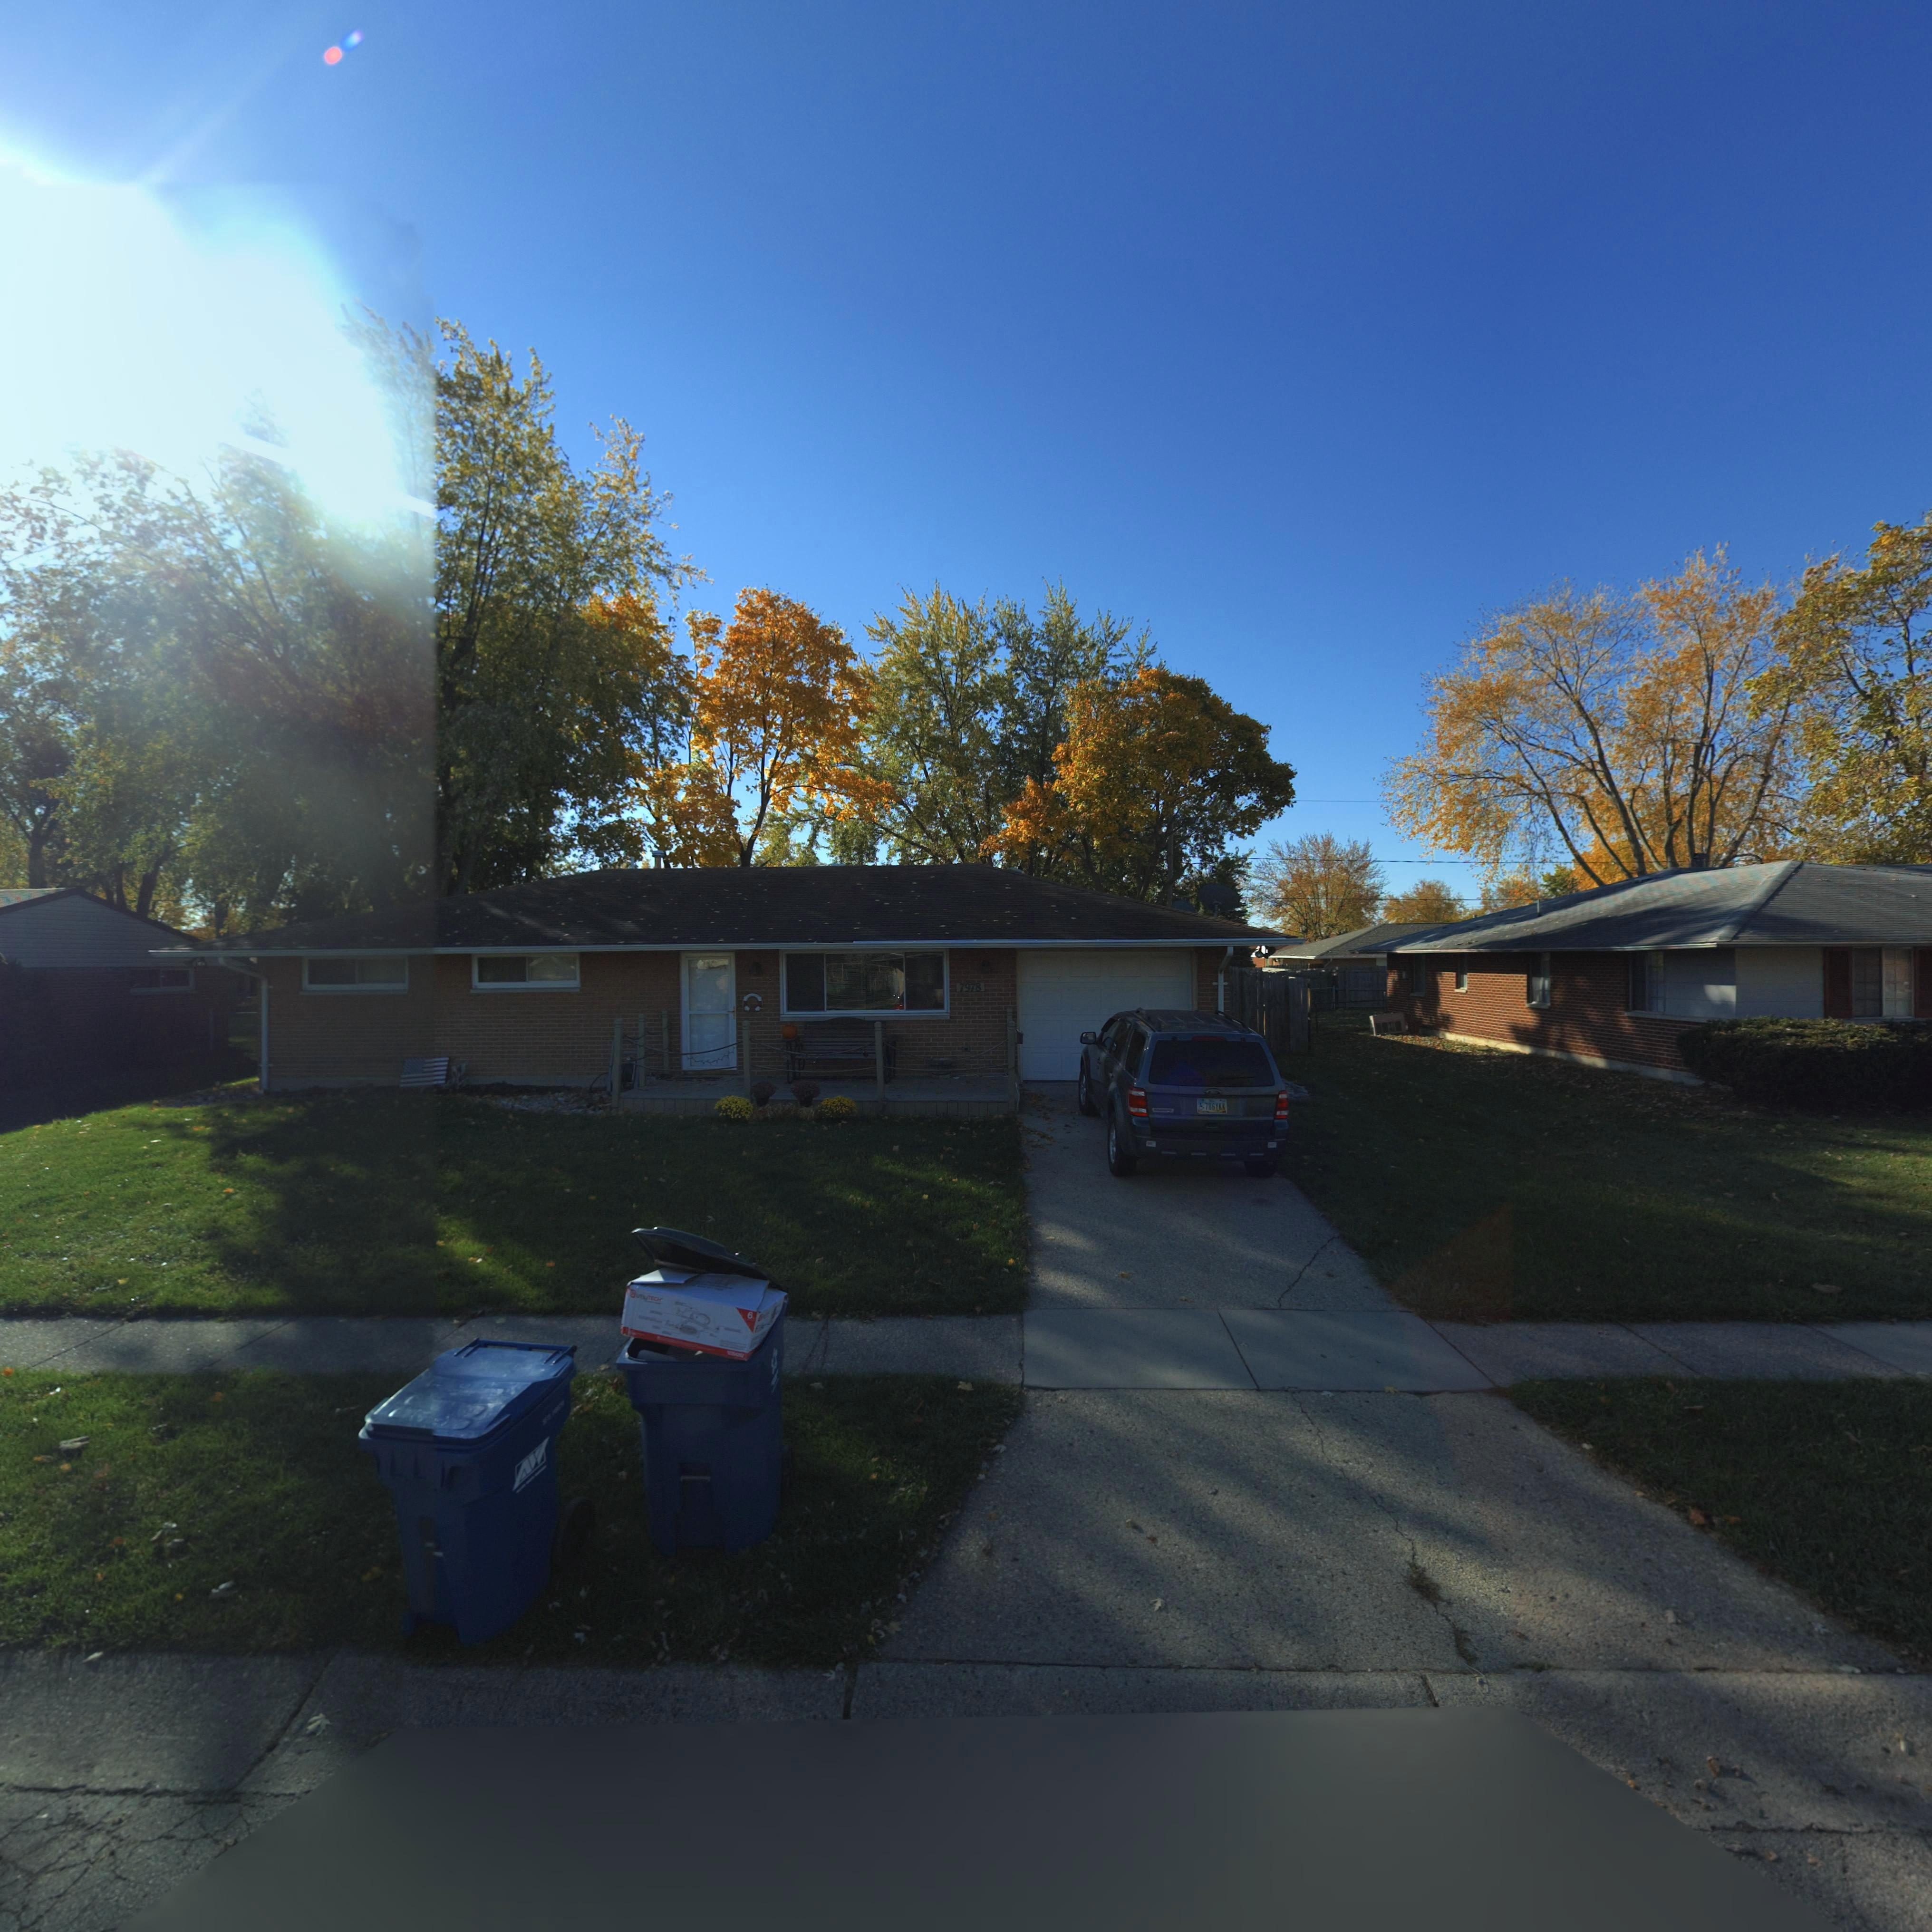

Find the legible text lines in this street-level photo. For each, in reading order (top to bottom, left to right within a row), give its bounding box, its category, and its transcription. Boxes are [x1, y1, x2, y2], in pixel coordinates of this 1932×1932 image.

[959, 983, 982, 993] StreetNumber: 7978